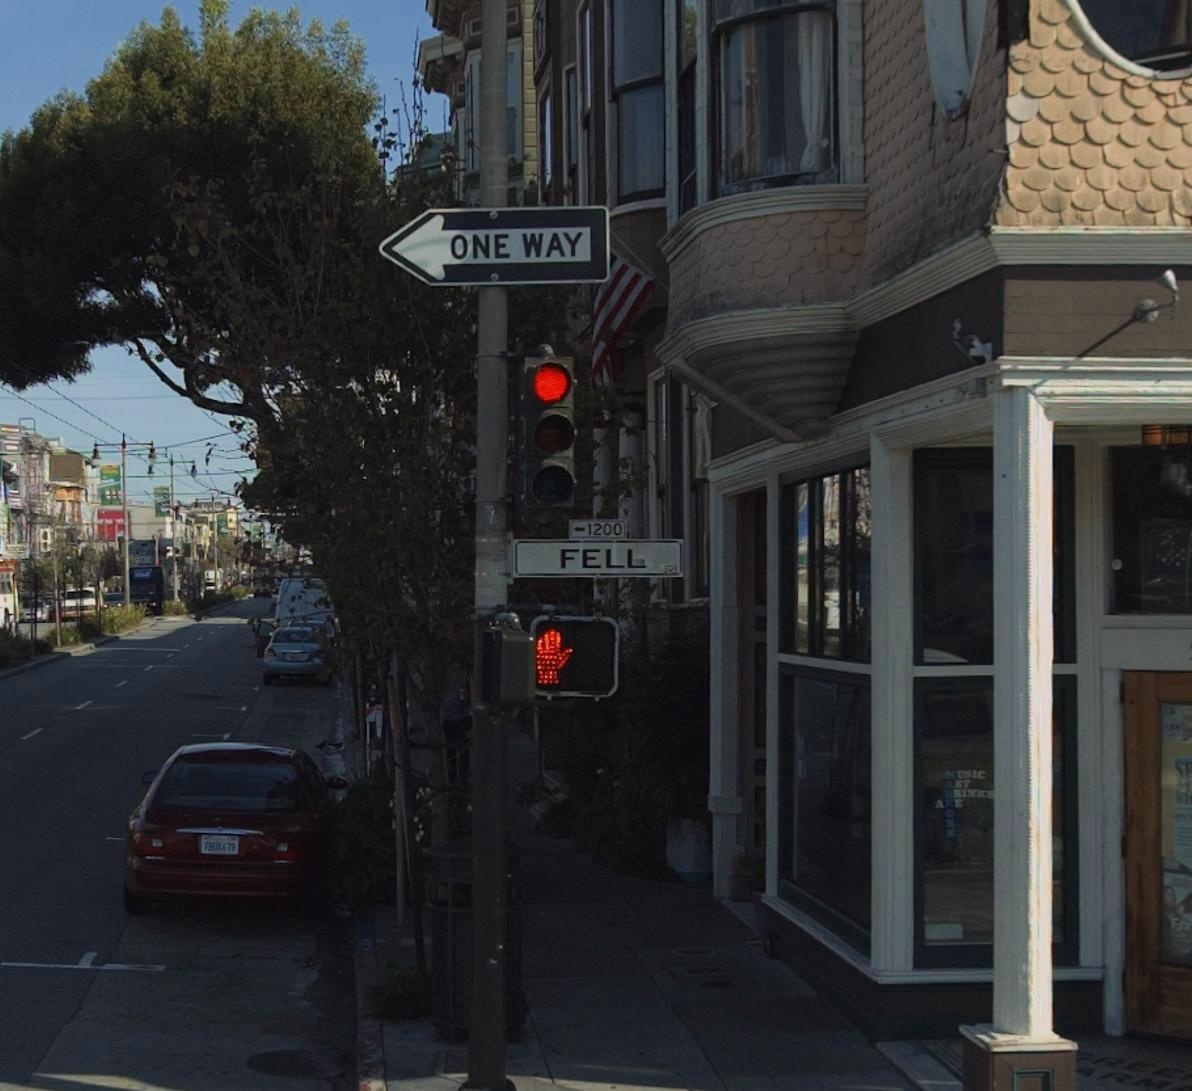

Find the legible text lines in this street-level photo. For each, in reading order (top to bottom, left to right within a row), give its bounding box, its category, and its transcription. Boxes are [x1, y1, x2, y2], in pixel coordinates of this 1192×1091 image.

[447, 230, 583, 261] None: ONE WAY
[570, 520, 622, 537] StreetNumberRange: <-1200
[558, 544, 648, 569] StreetName: FELL
[943, 767, 987, 779] None: MUSIC
[945, 779, 972, 789] None: ART
[932, 798, 967, 810] None: ARE
[944, 769, 957, 840] BusinessName: MADRONE
[201, 838, 235, 854] None: 7BUX470